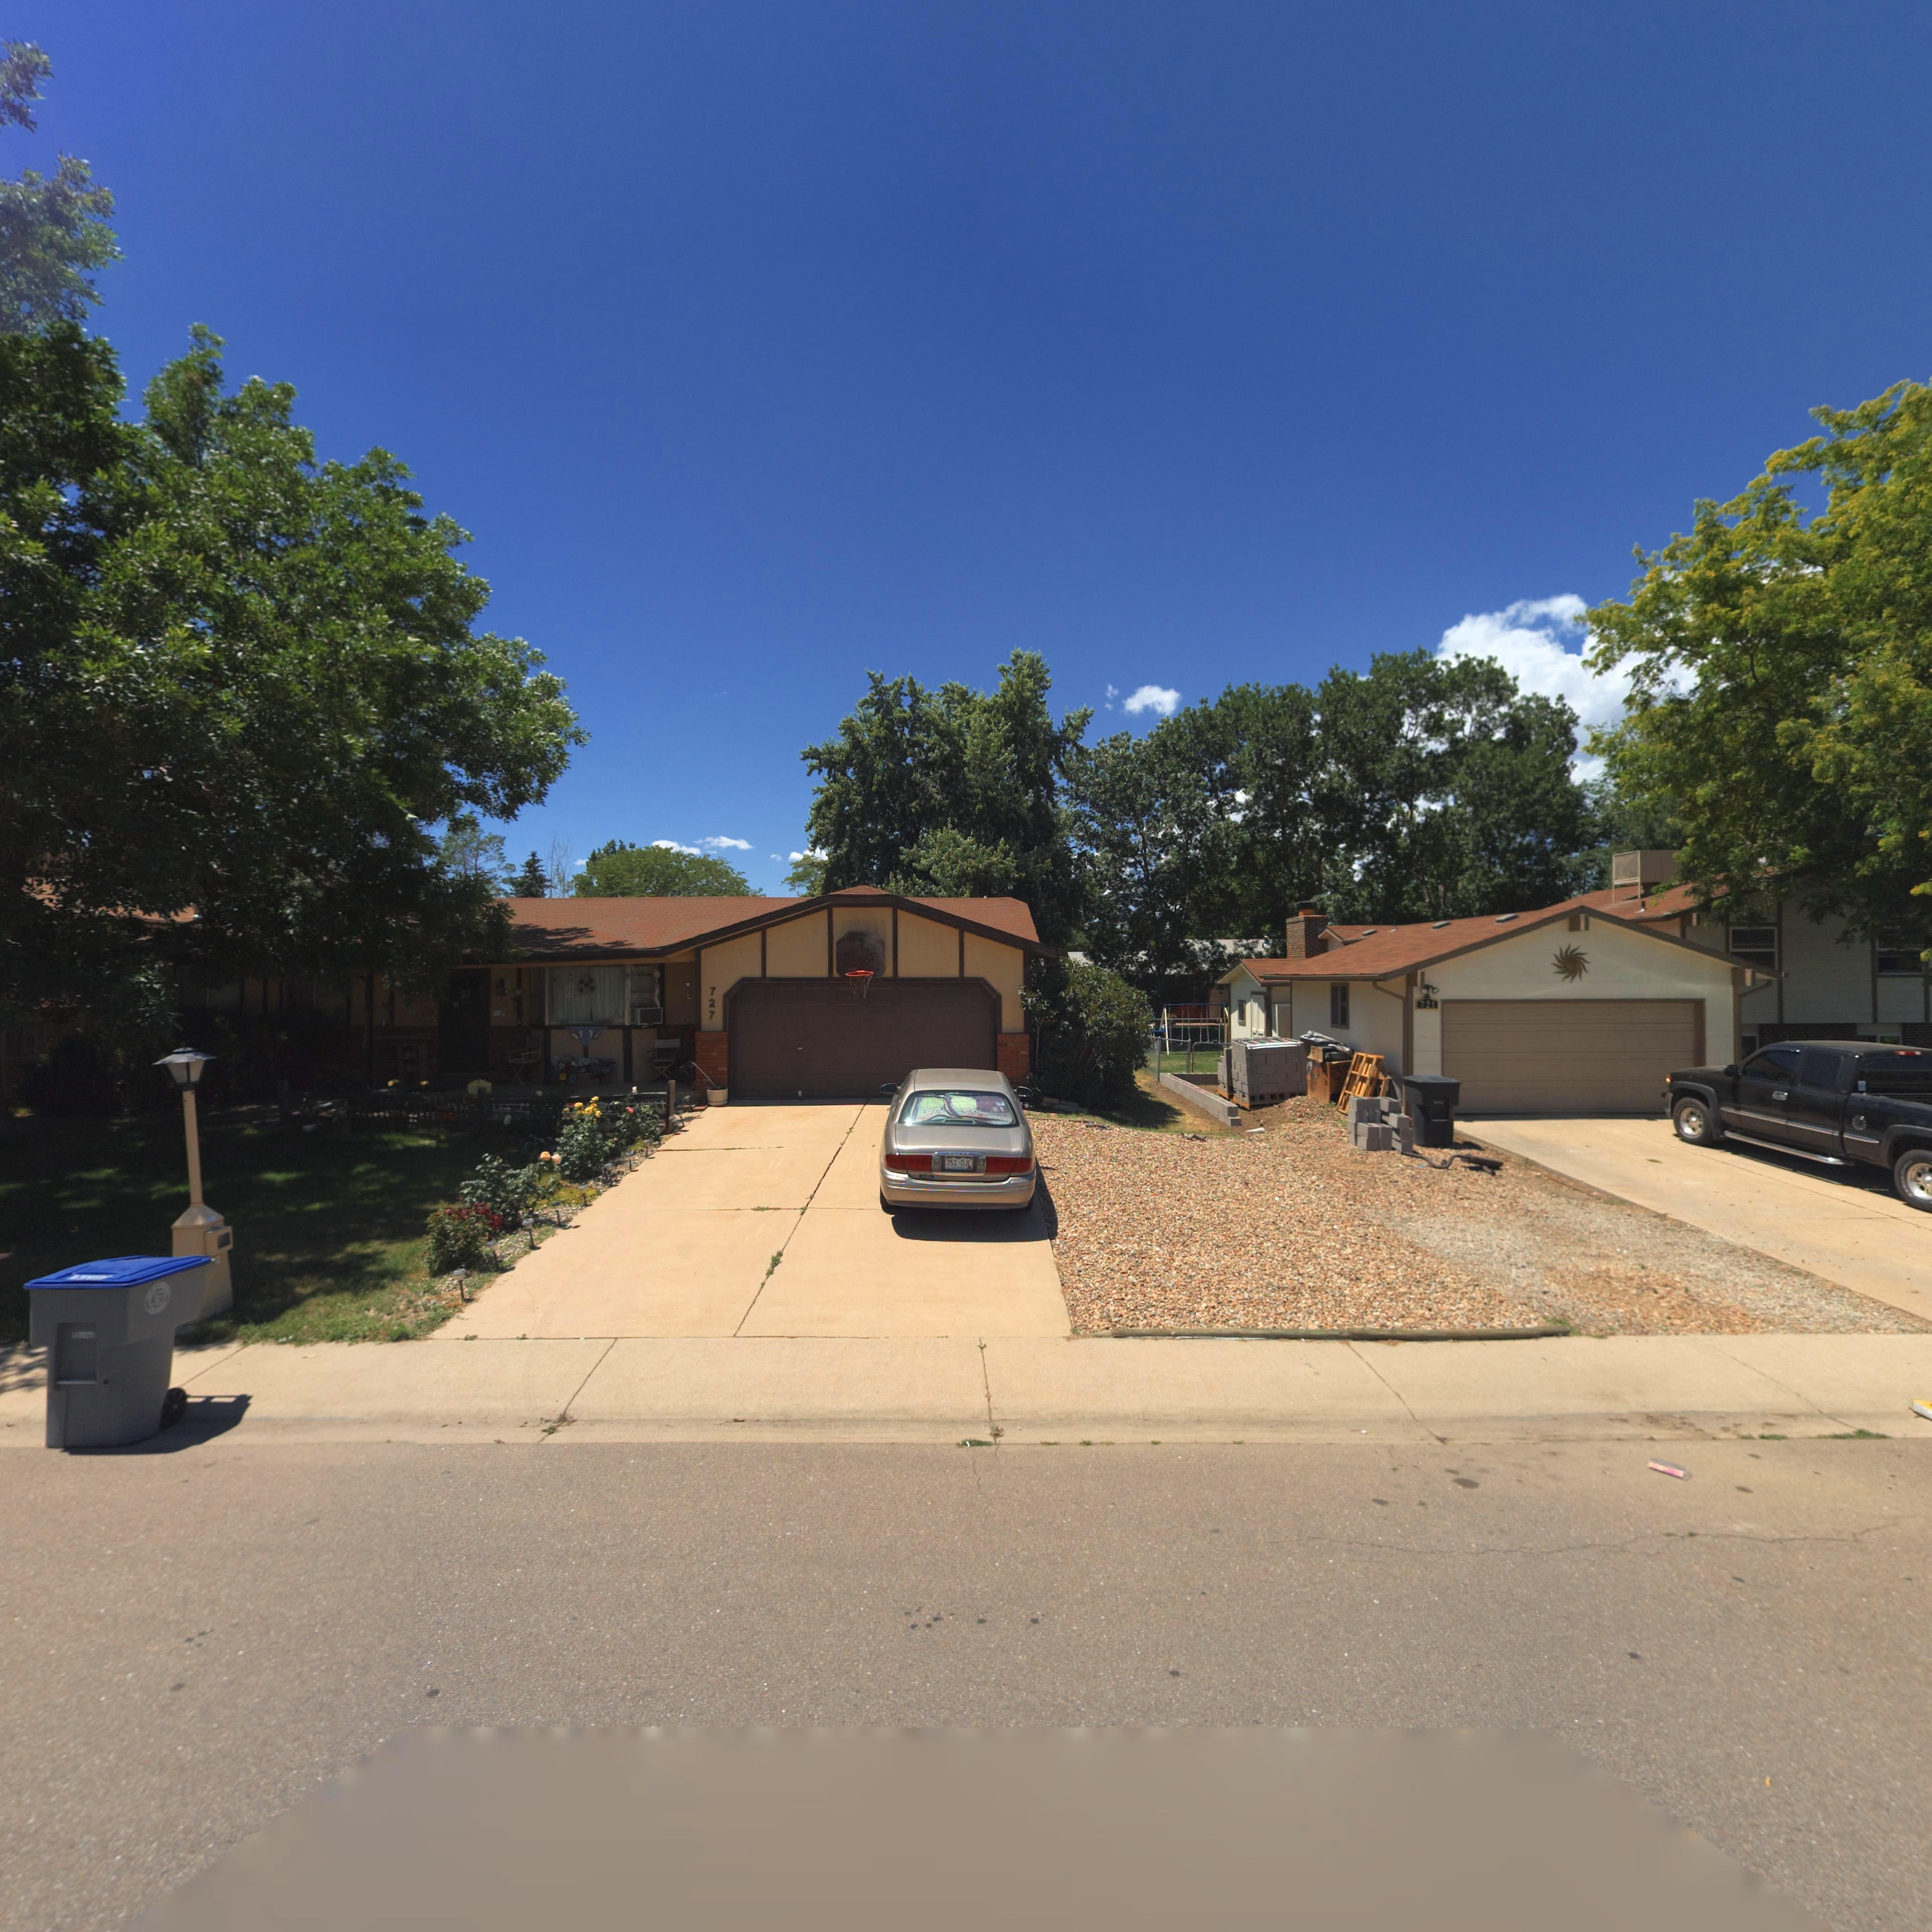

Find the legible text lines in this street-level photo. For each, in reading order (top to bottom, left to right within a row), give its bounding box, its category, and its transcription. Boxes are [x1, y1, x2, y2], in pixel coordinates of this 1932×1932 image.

[498, 995, 516, 1013] StreetNumber: *2*
[708, 986, 716, 1020] StreetNumber: 727
[1420, 1000, 1435, 1008] StreetNumber: 721